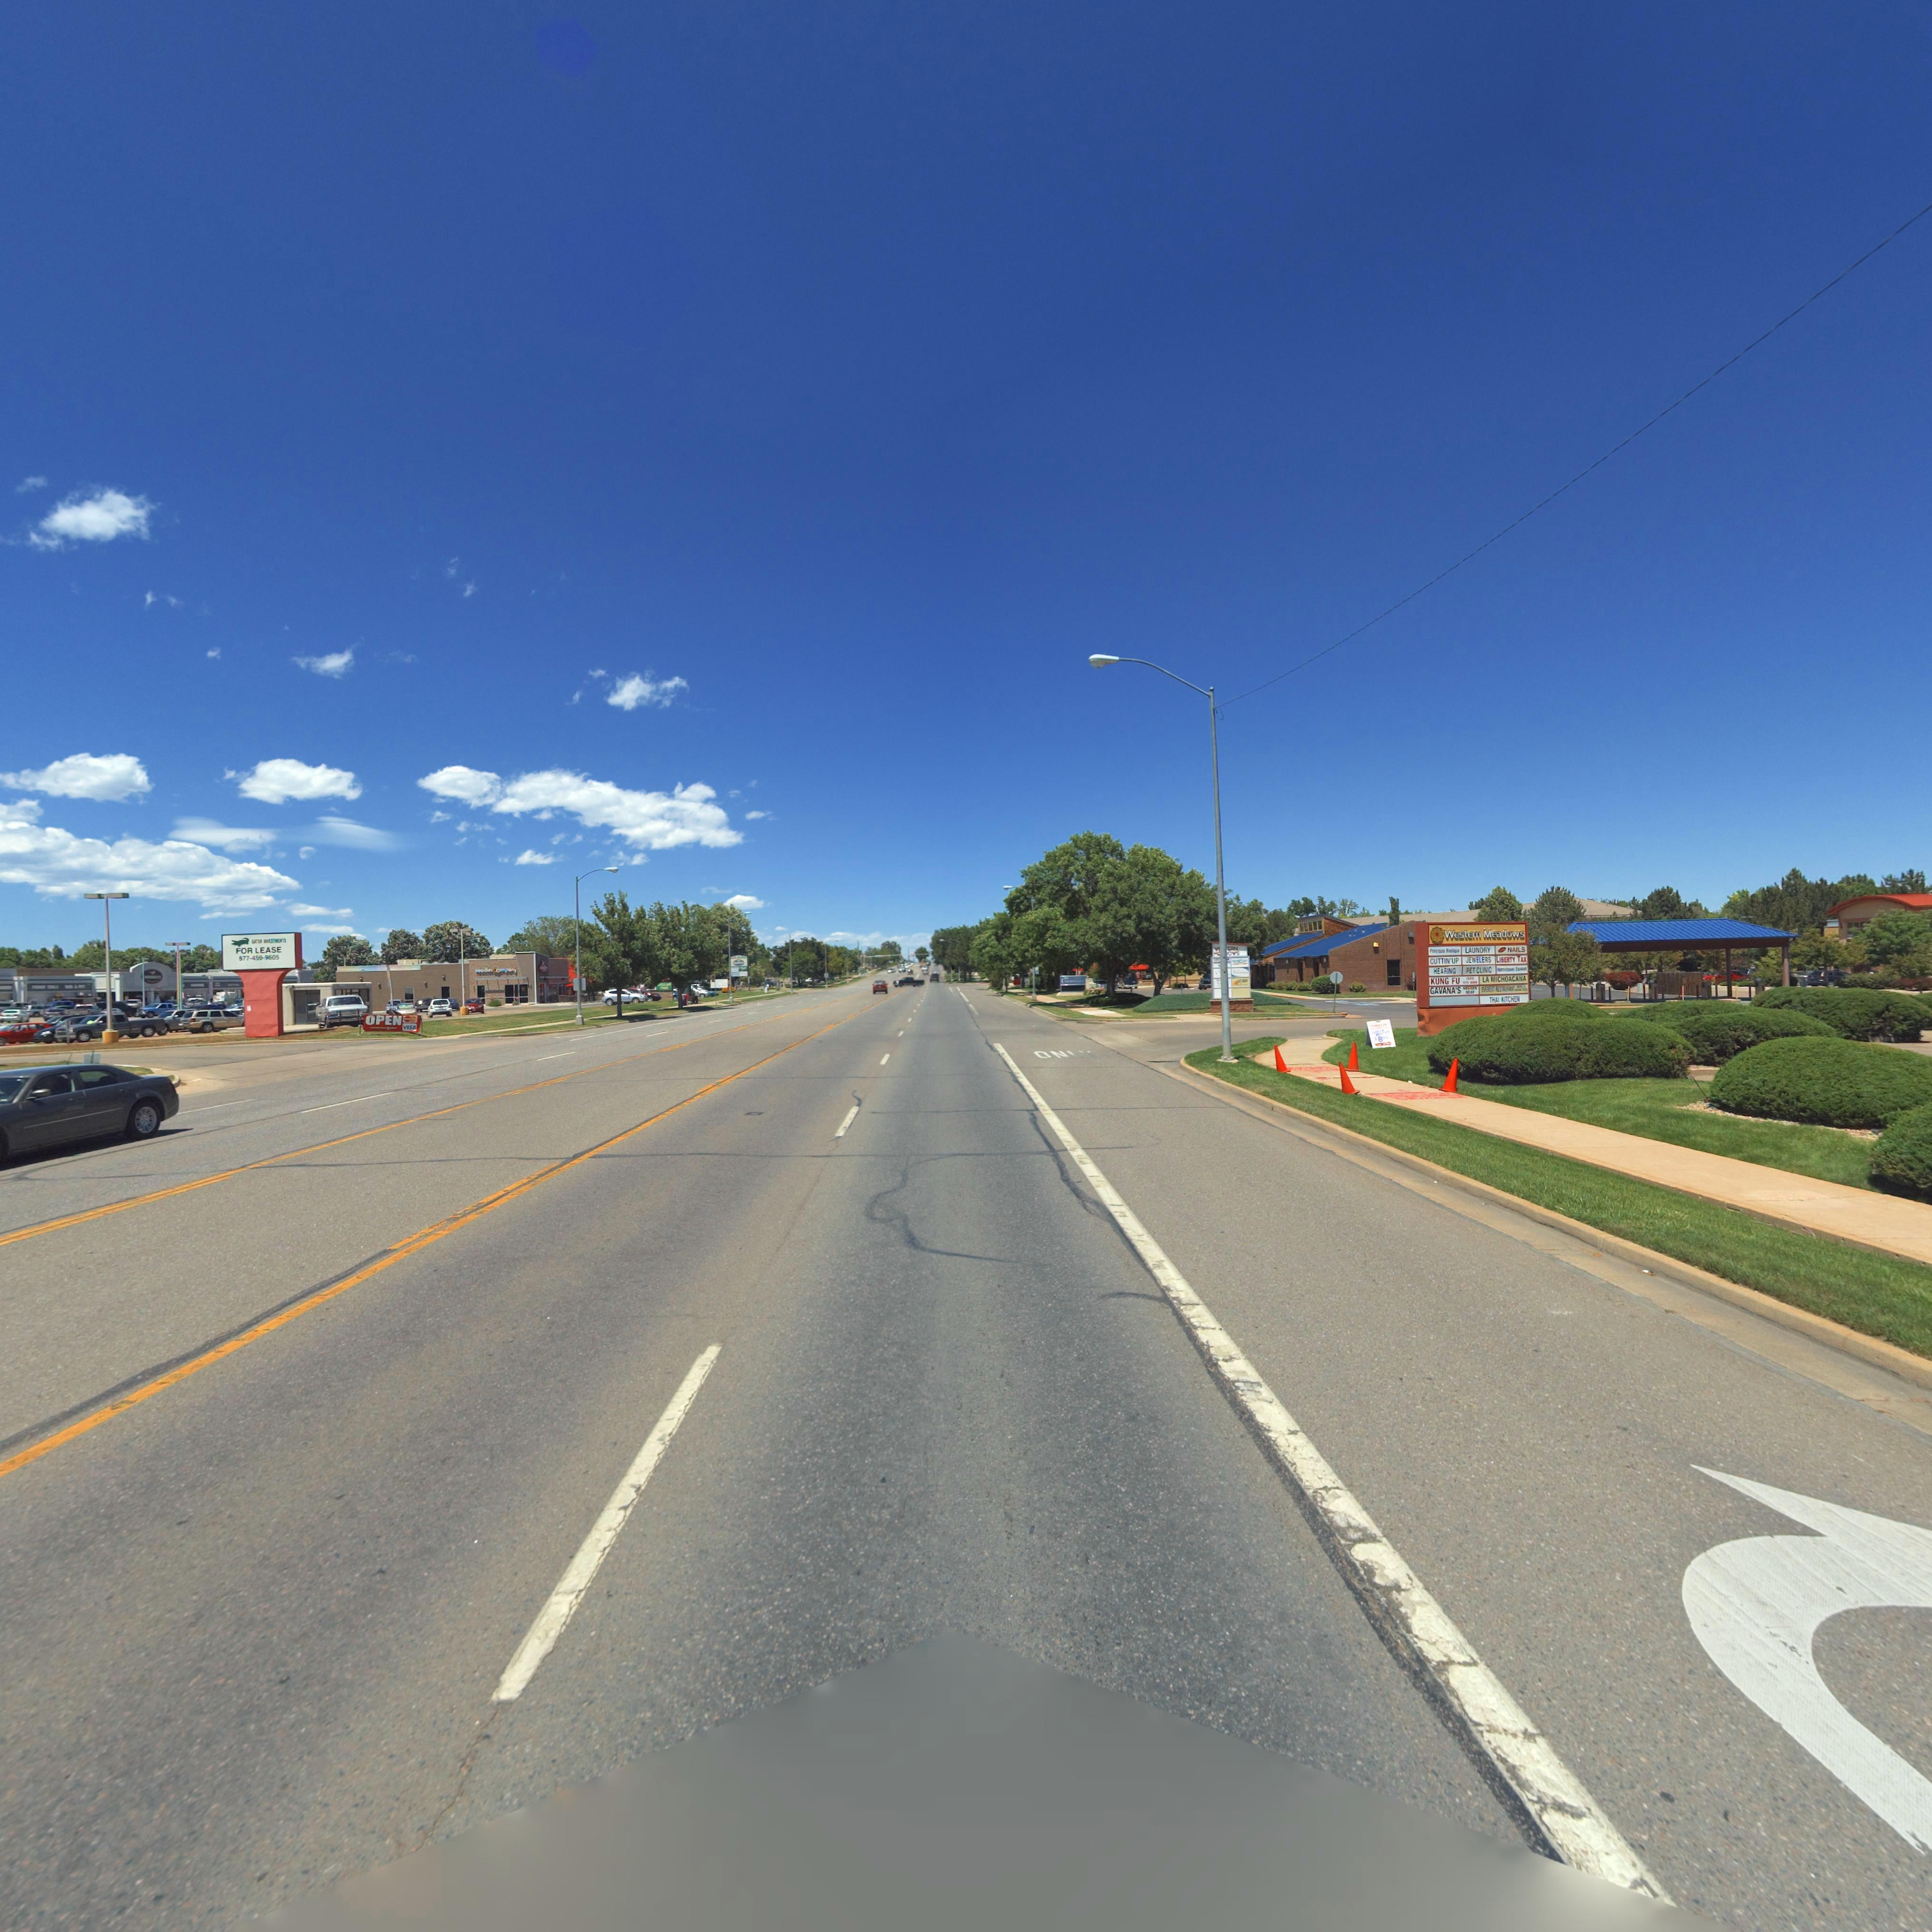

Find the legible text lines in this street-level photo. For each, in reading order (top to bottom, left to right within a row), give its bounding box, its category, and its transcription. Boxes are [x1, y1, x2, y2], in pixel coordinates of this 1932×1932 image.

[1429, 947, 1460, 953] None: Princ**s B****q**
[1430, 957, 1459, 965] BusinessName: CUTTIN' UP
[1496, 955, 1526, 963] BusinessName: LIBERTY TAX
[475, 967, 517, 974] BusinessName: noodles * co*pany
[1496, 966, 1526, 972] BusinessName: Ho****** E*****
[1482, 975, 1527, 983] BusinessName: LA MICHOACANA
[1430, 986, 1461, 995] BusinessName: GAVANA*S
[1481, 985, 1515, 993] BusinessName: EVEREST RESTAURANT